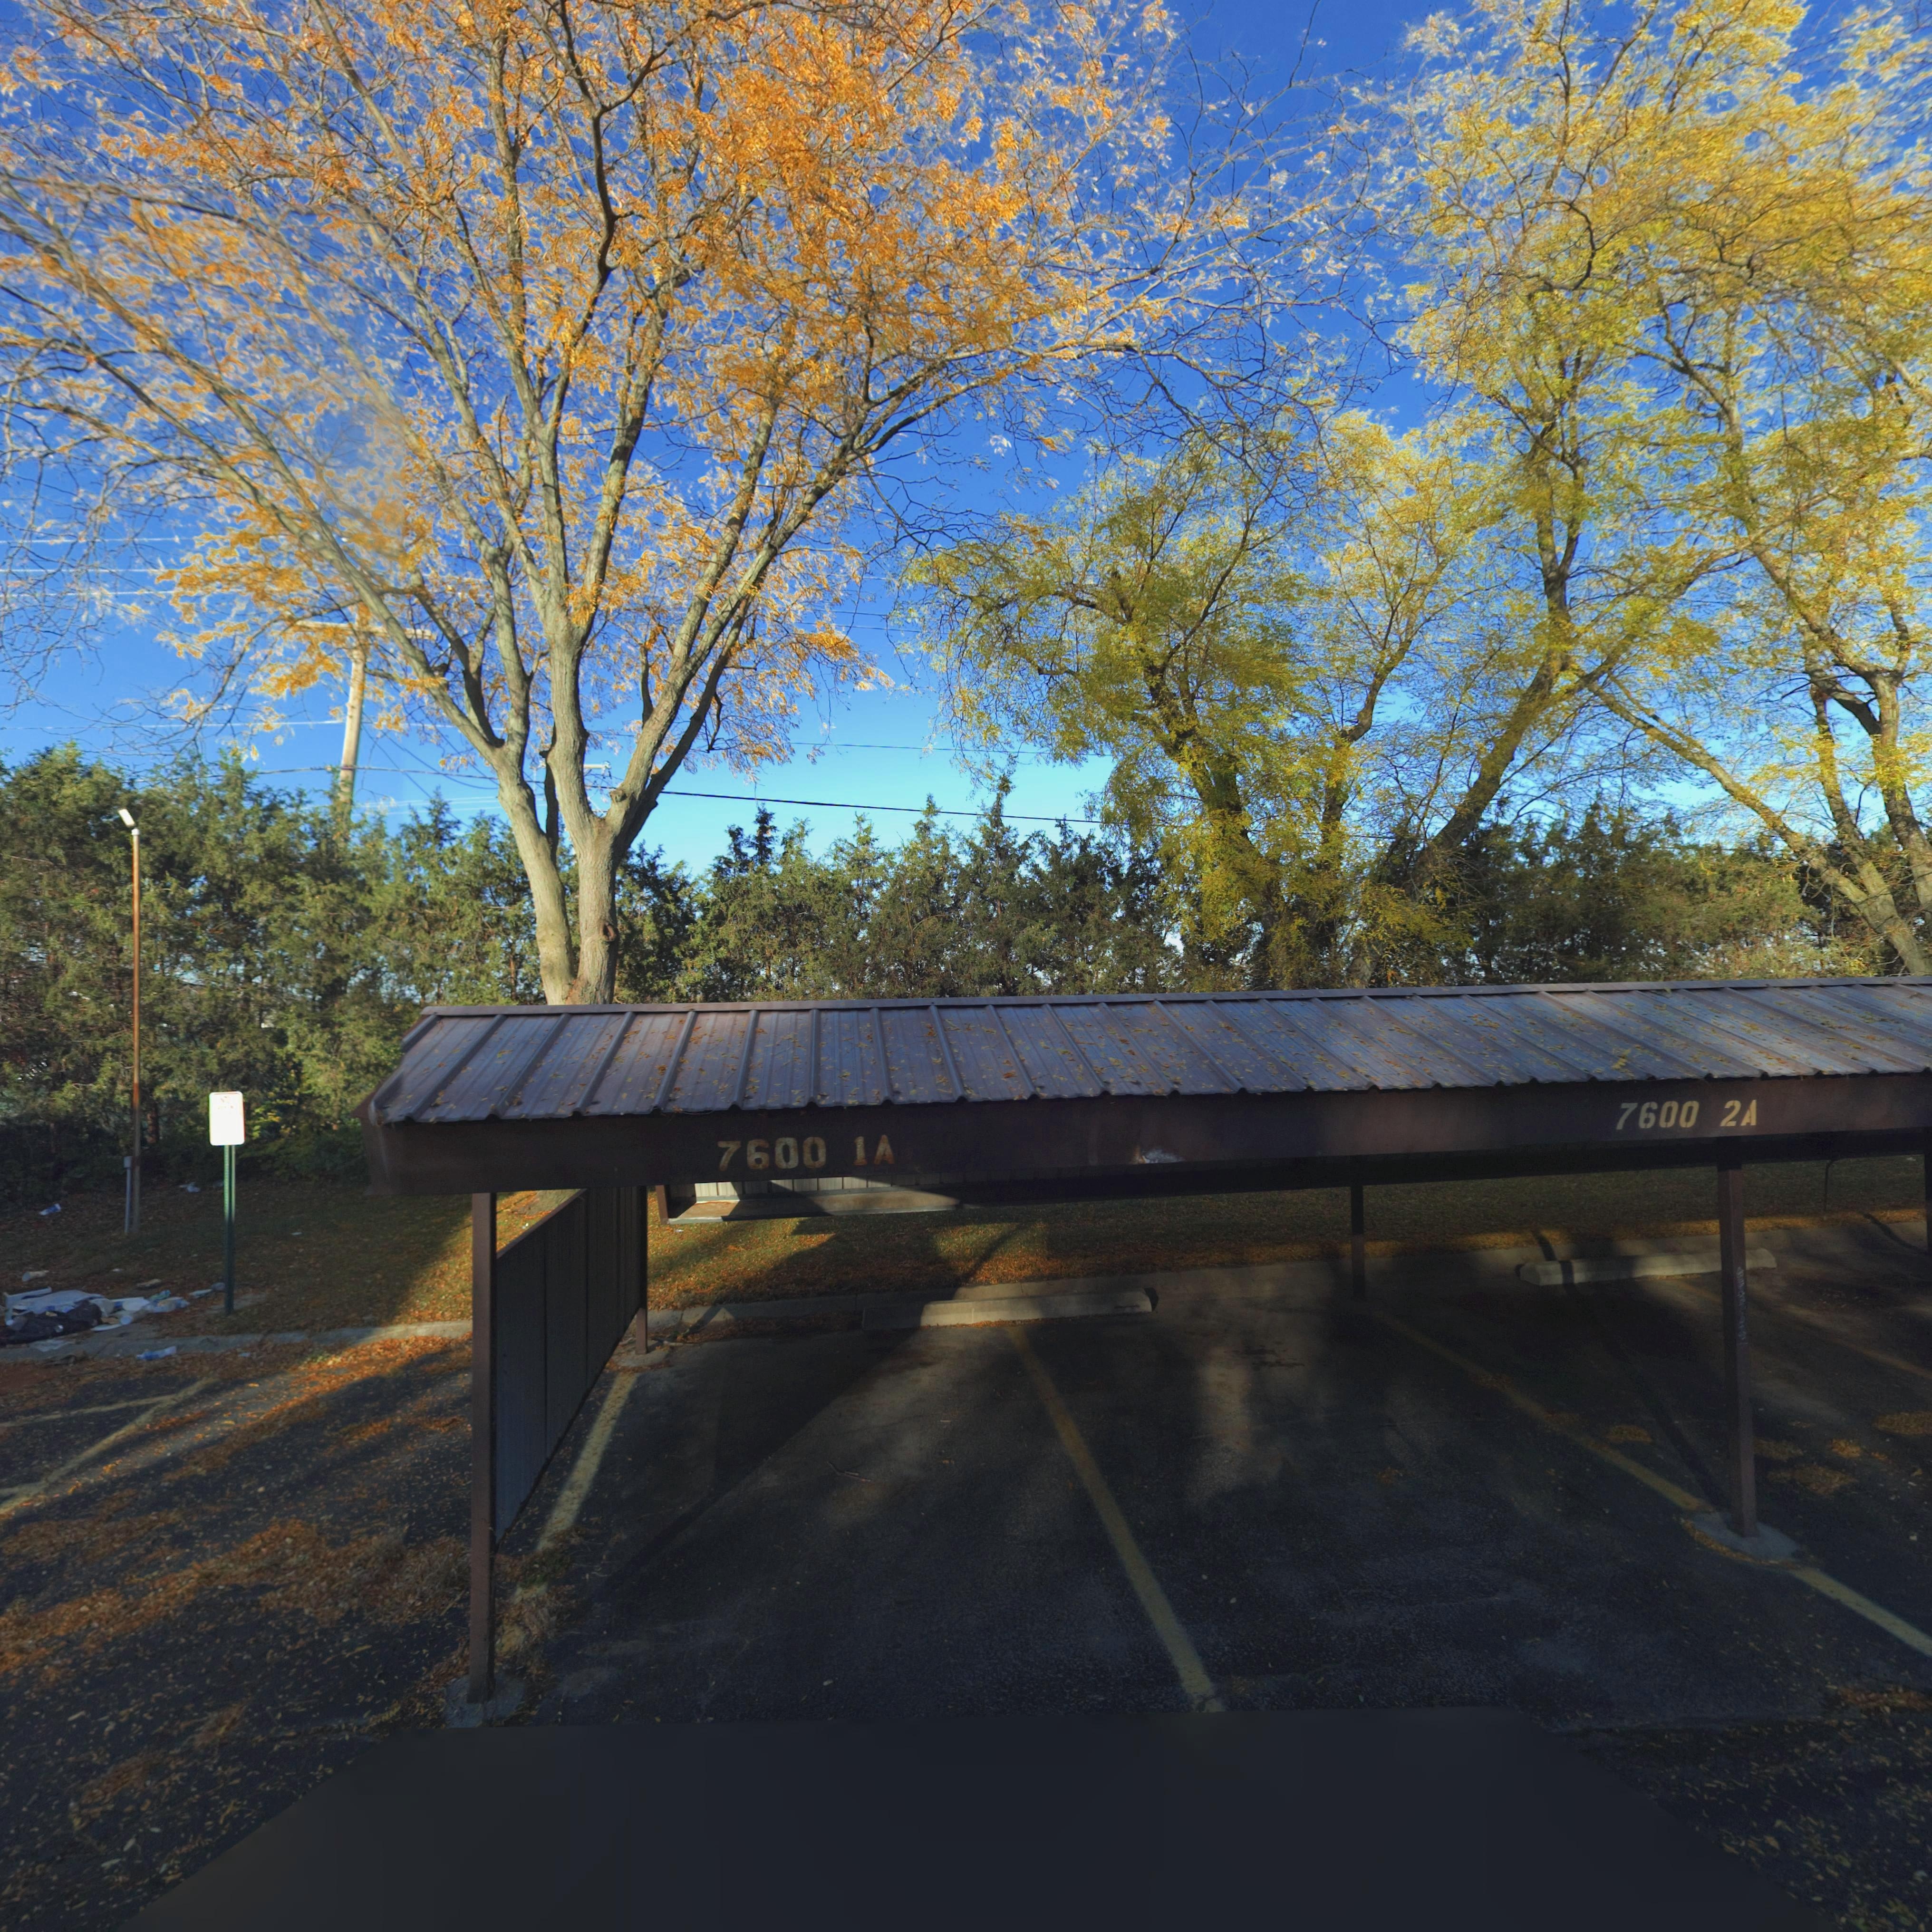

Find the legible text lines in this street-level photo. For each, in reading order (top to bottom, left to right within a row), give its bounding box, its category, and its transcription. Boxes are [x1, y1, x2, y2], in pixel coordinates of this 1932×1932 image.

[1615, 1100, 1700, 1130] StreetNumber: 7600
[715, 1136, 828, 1173] StreetNumber: 7600